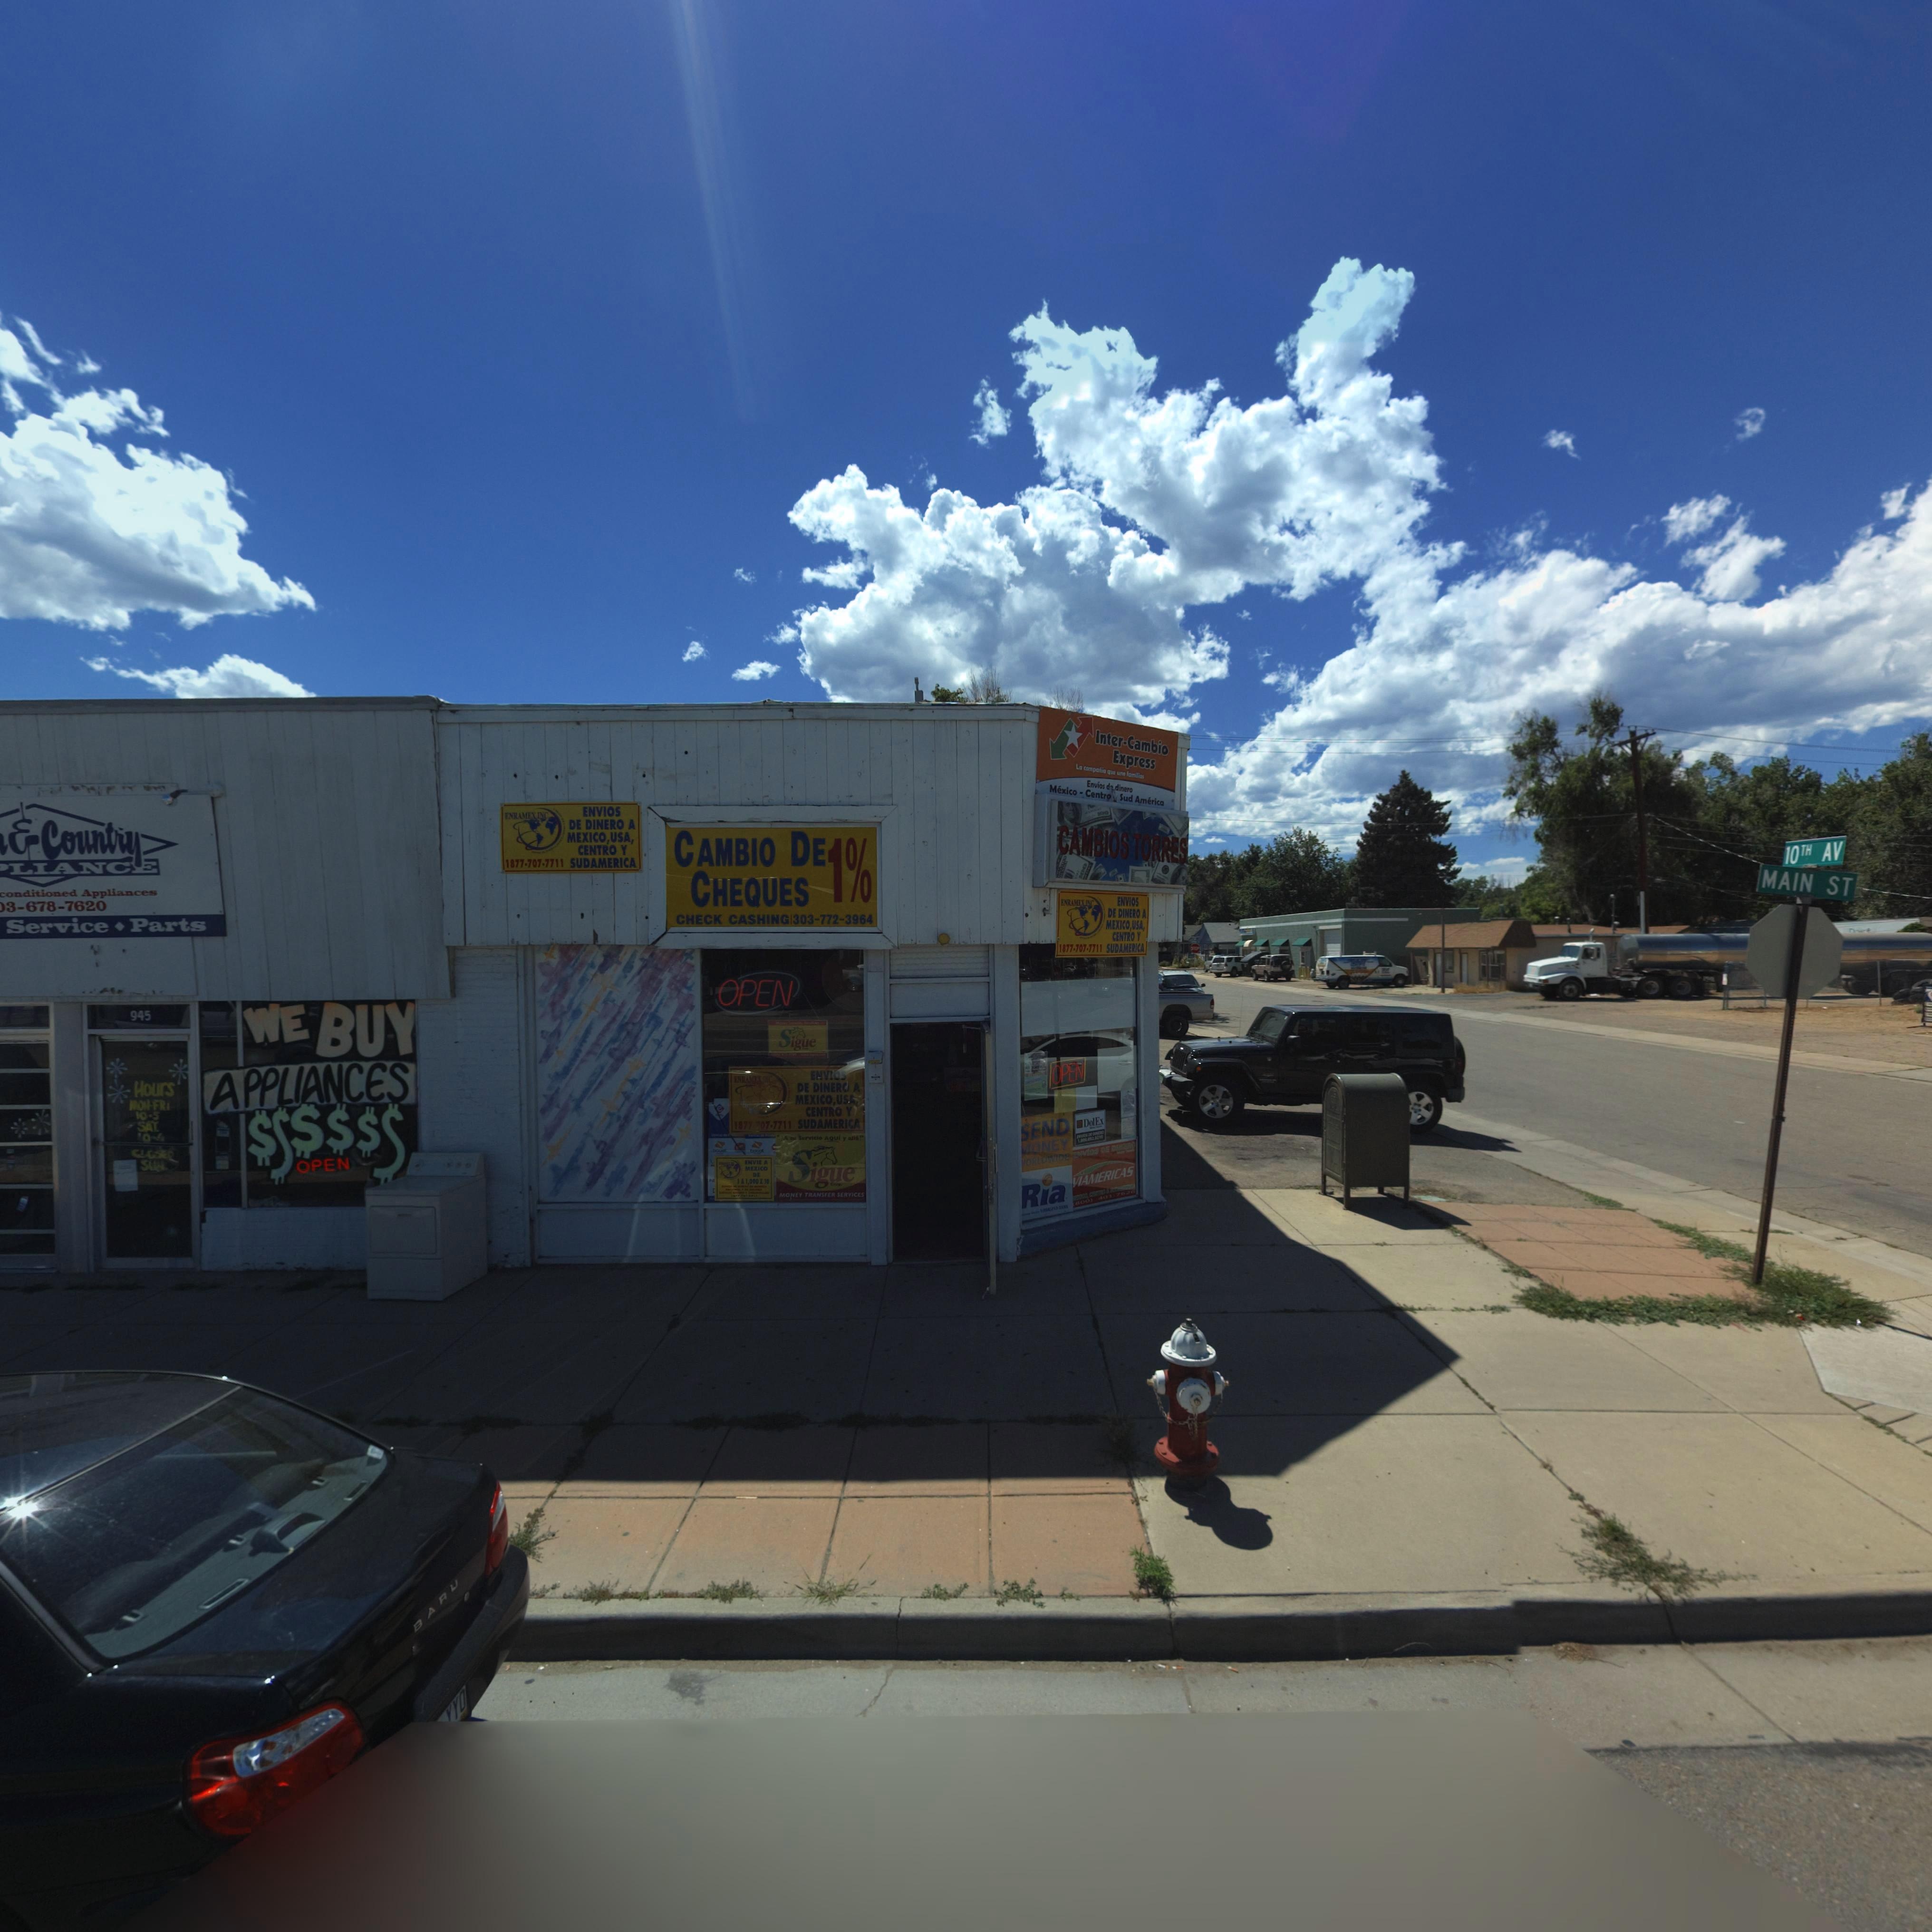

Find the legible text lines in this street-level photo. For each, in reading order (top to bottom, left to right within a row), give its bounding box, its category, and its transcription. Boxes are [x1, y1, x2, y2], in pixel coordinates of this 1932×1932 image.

[7, 800, 143, 868] BusinessName: * Country
[1058, 824, 1187, 864] BusinessName: CAMBIOS TORRES
[1784, 840, 1843, 864] StreetName: 10TH AV
[8, 860, 158, 875] BusinessName: LIANCE
[1761, 868, 1854, 897] StreetName: MAIN ST
[129, 1009, 151, 1022] StreetNumber: 945